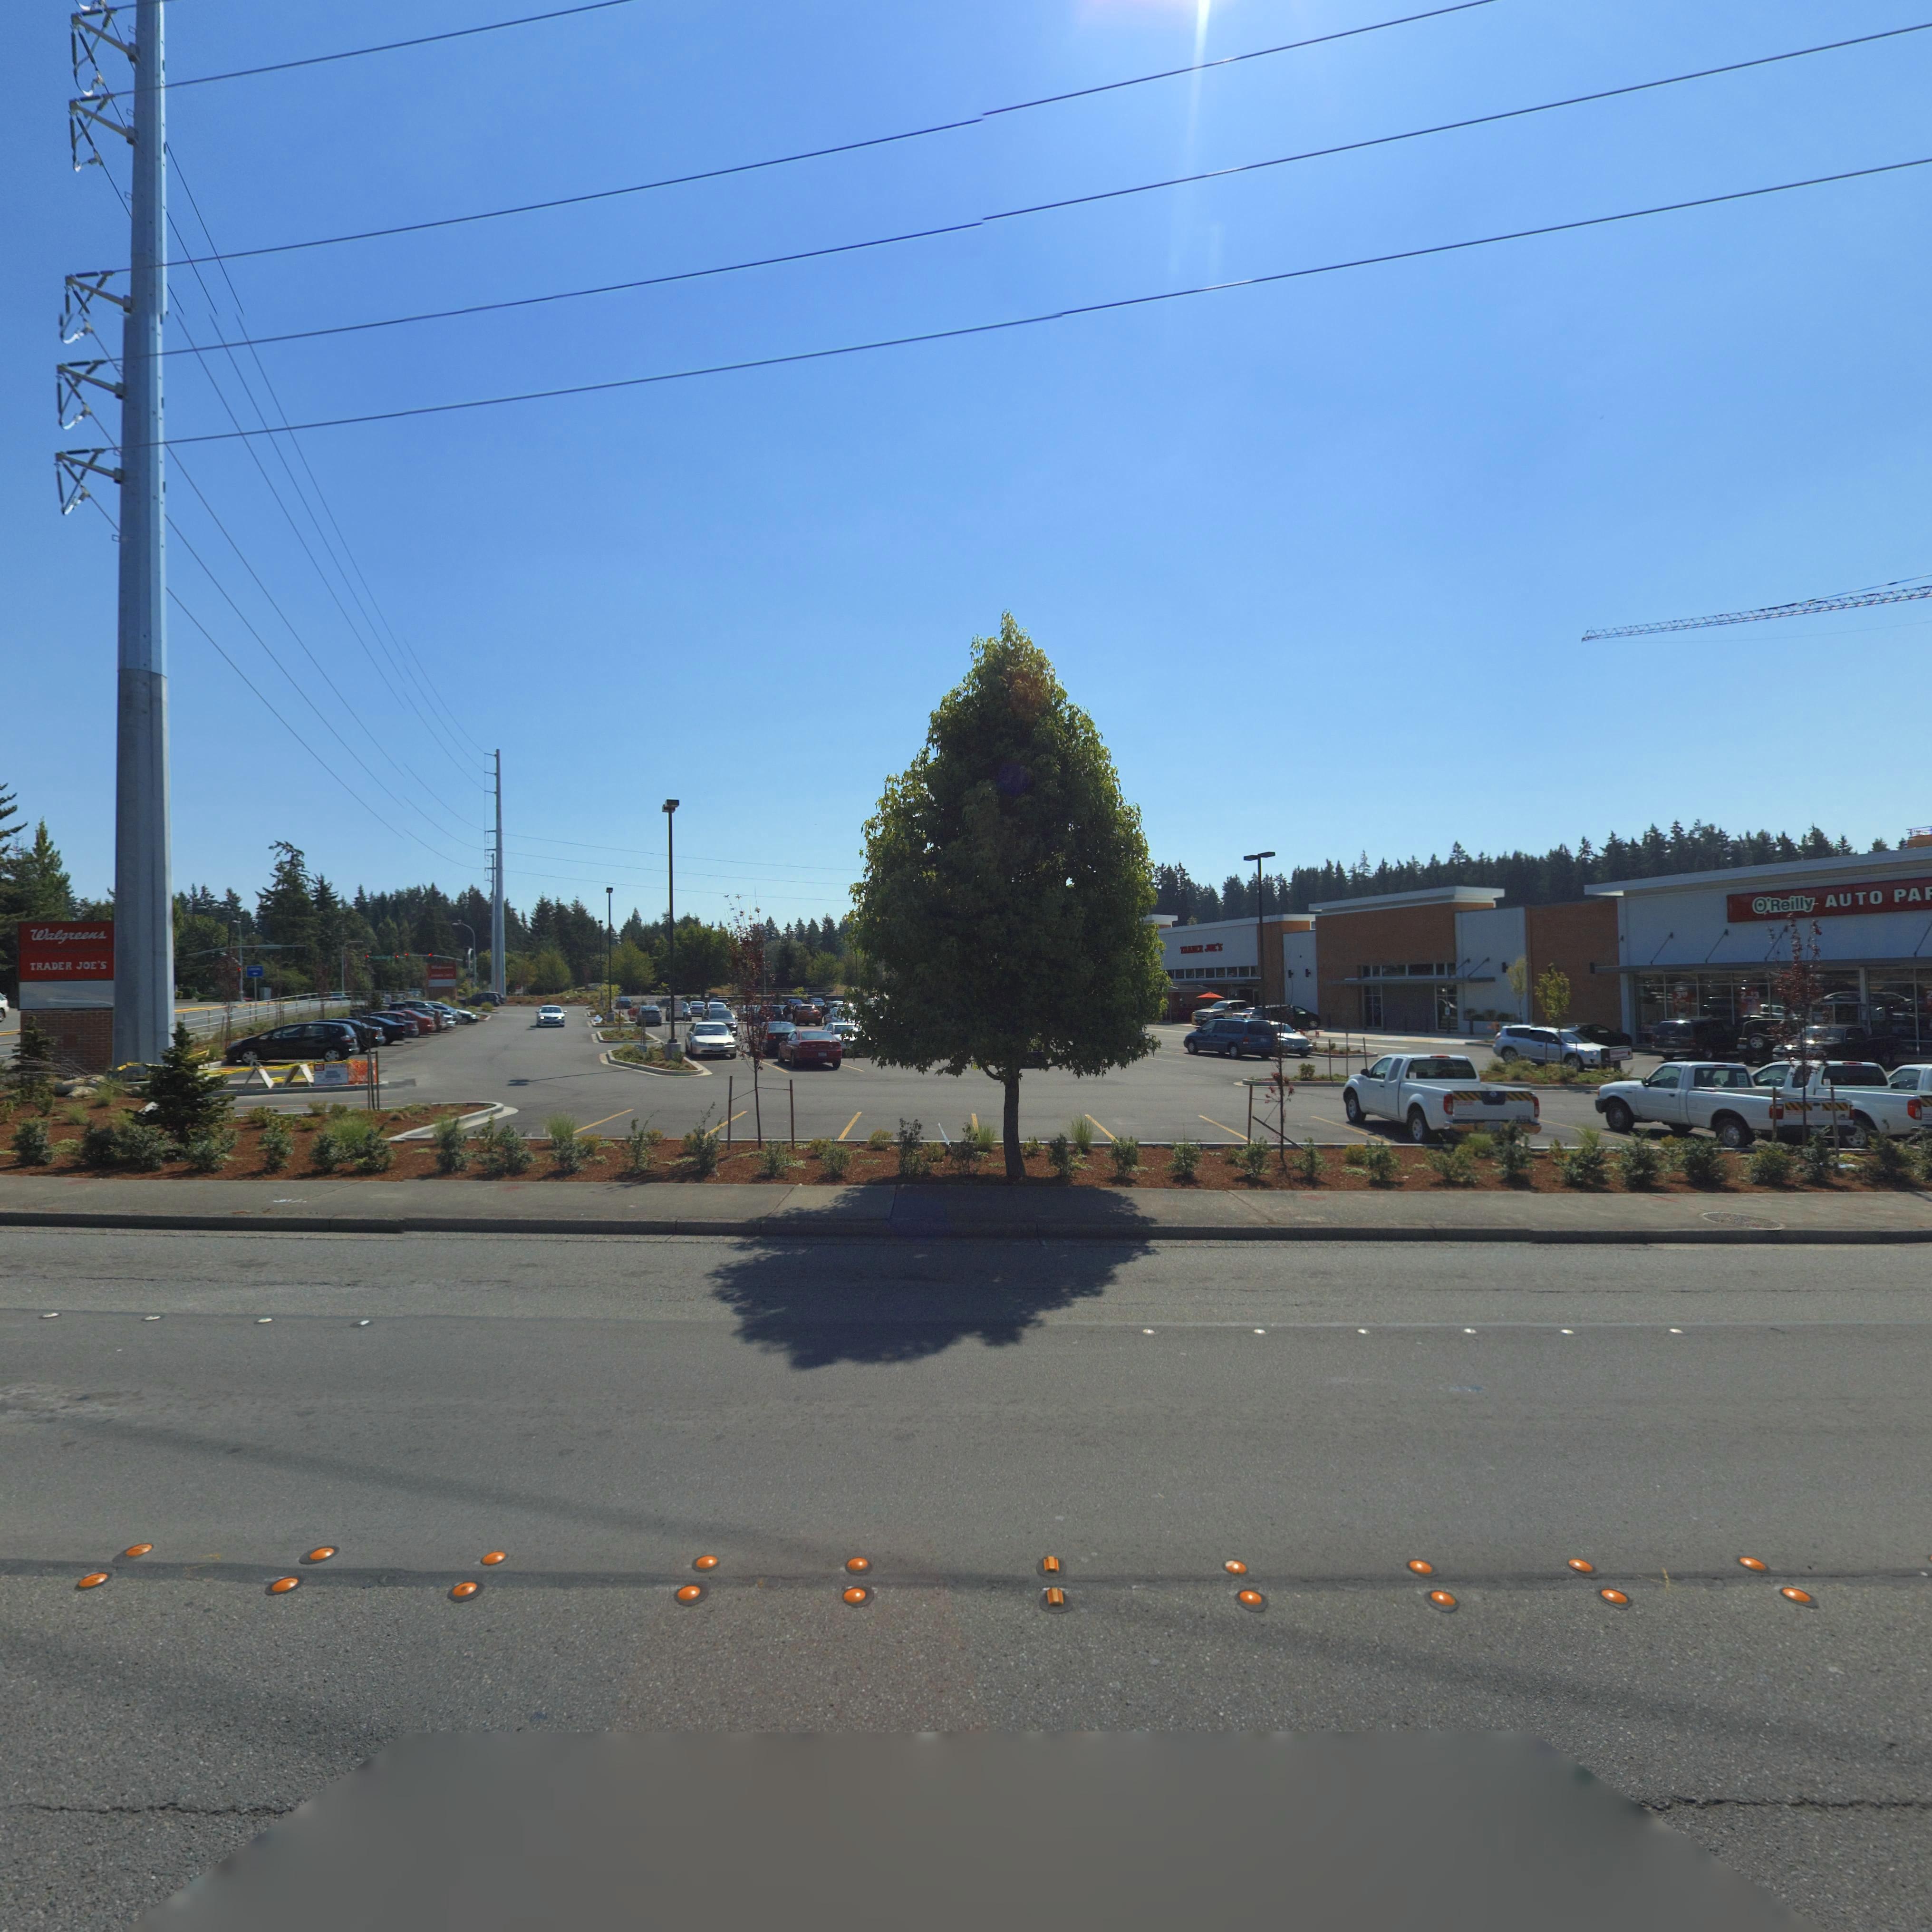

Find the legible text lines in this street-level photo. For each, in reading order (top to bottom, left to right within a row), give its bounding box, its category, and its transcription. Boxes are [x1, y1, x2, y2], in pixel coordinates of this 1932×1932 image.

[1749, 894, 1819, 916] BusinessName: O'Reilly
[29, 927, 108, 945] None: Walgreens
[29, 959, 109, 971] None: TRADER JOE'S